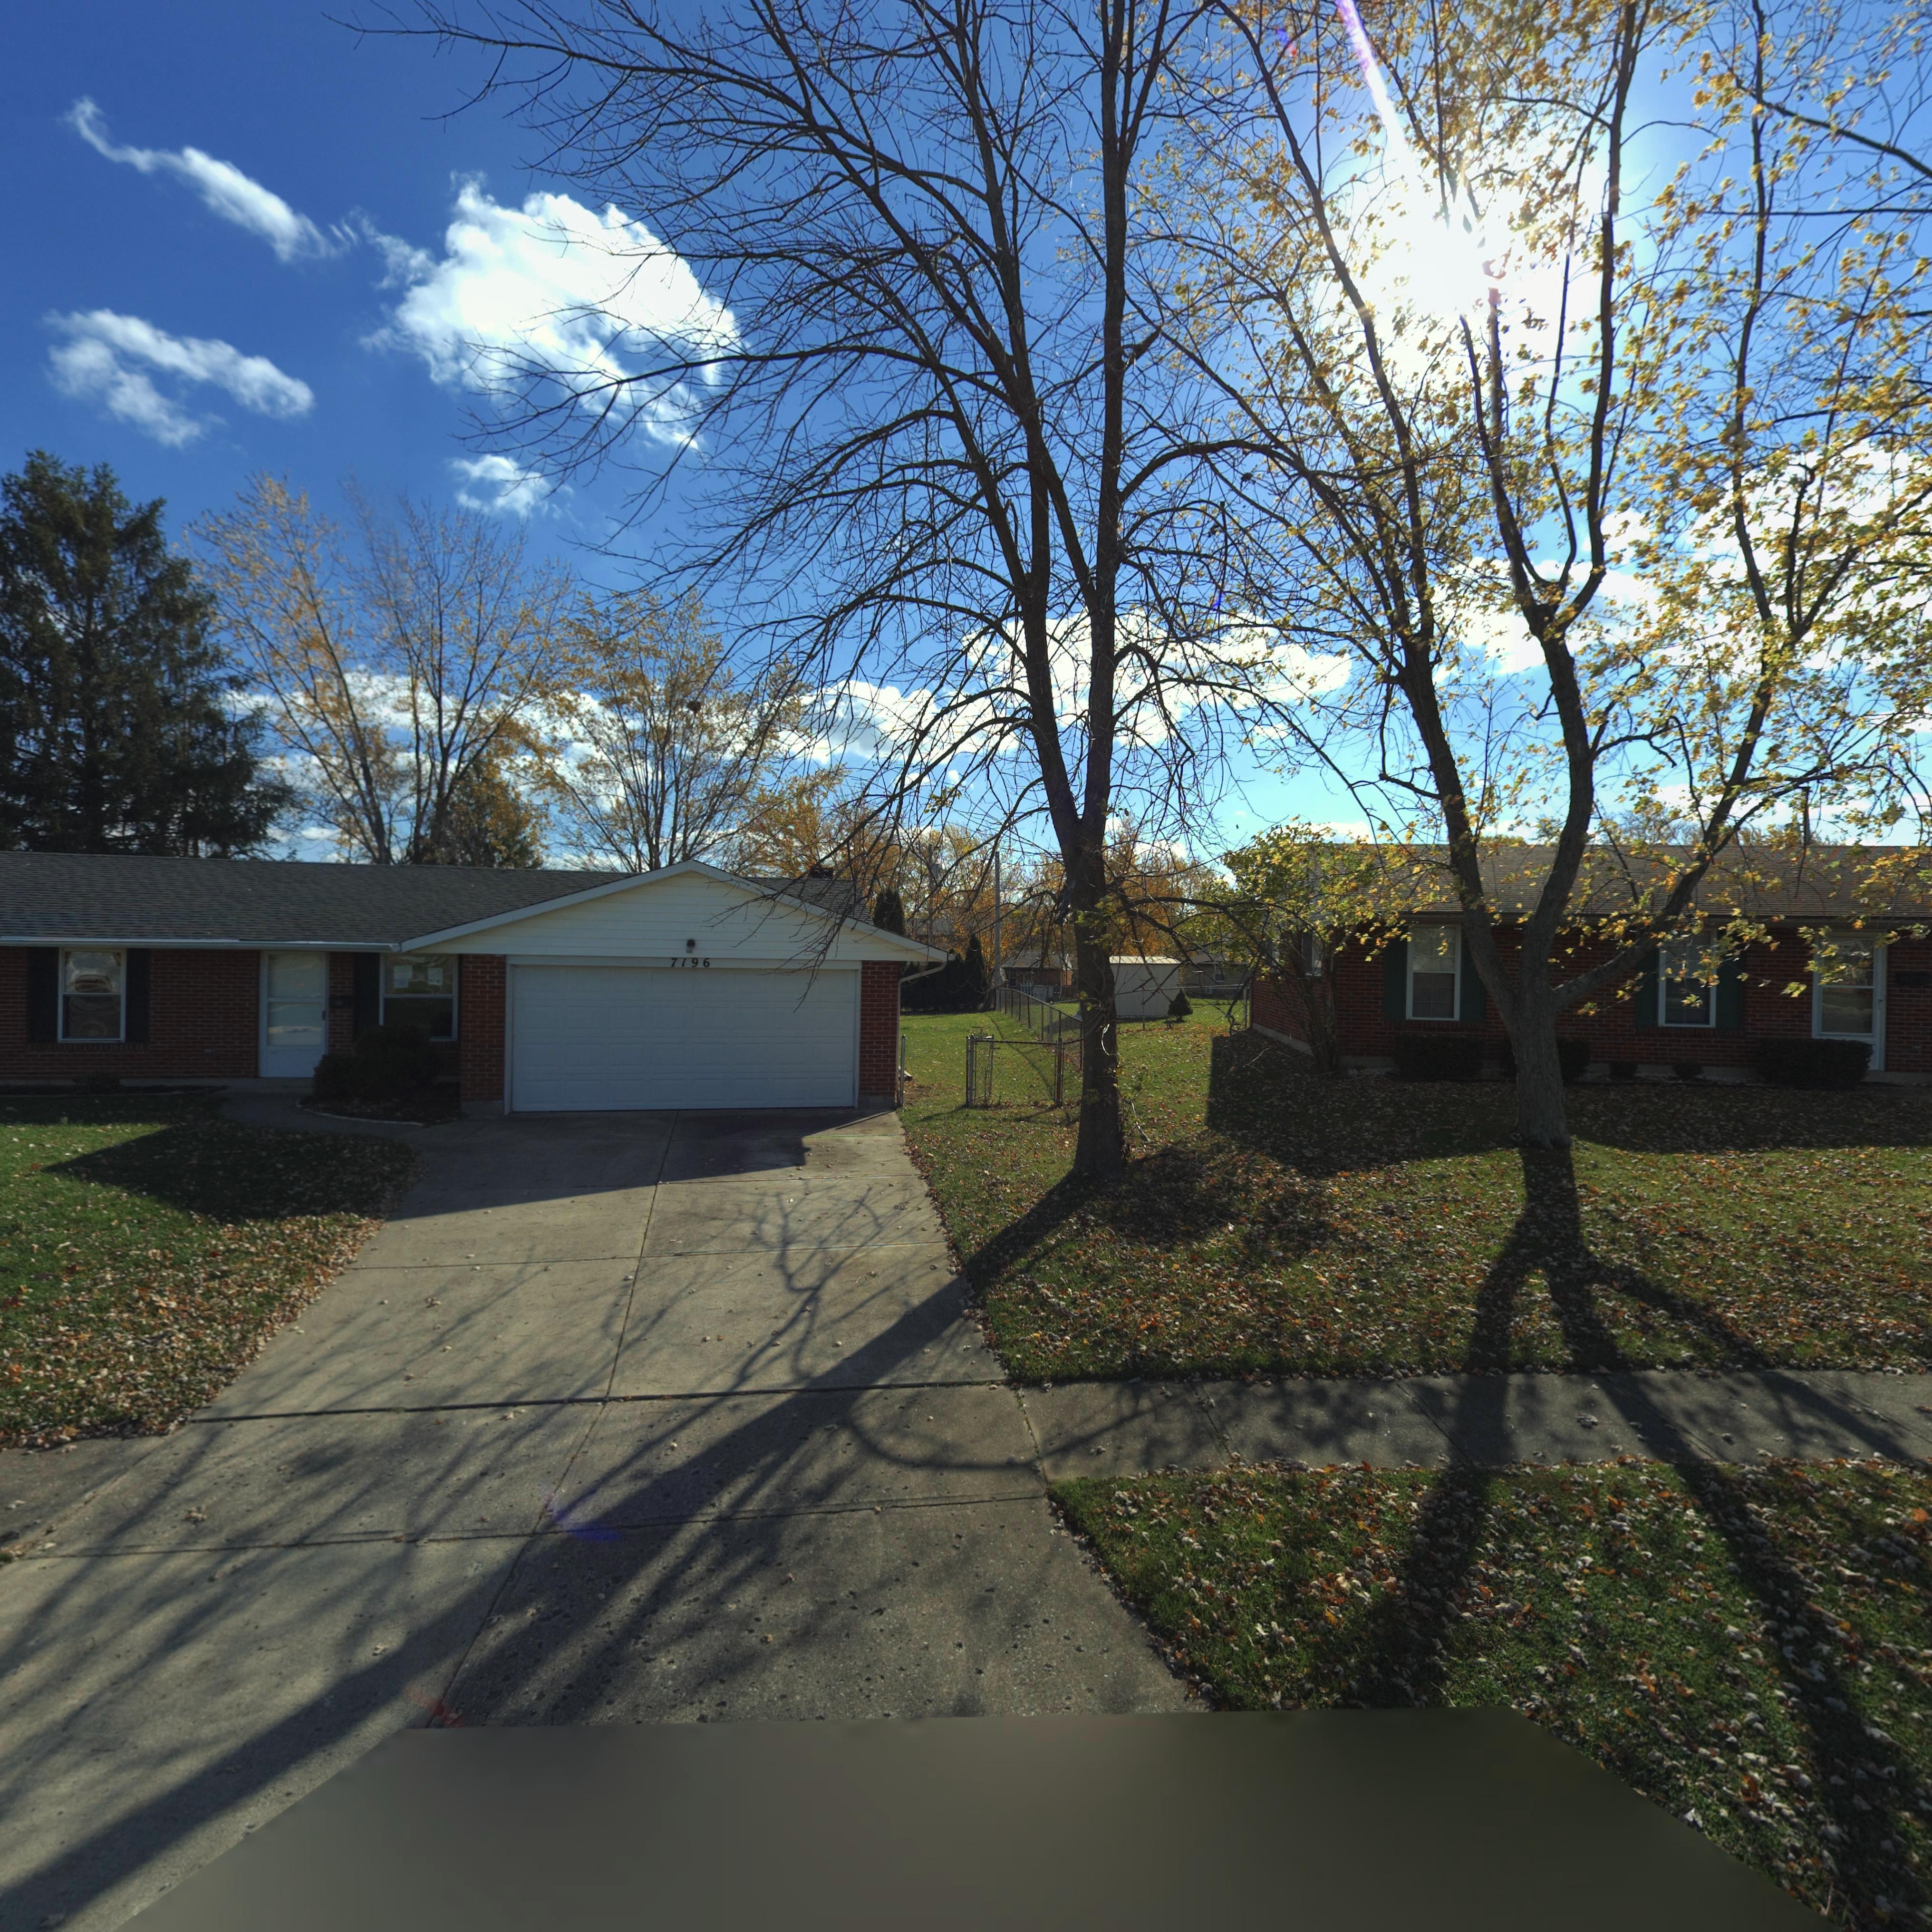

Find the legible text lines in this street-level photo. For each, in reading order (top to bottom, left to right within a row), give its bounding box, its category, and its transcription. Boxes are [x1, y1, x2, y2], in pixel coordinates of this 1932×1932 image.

[670, 956, 712, 968] StreetNumber: 7196